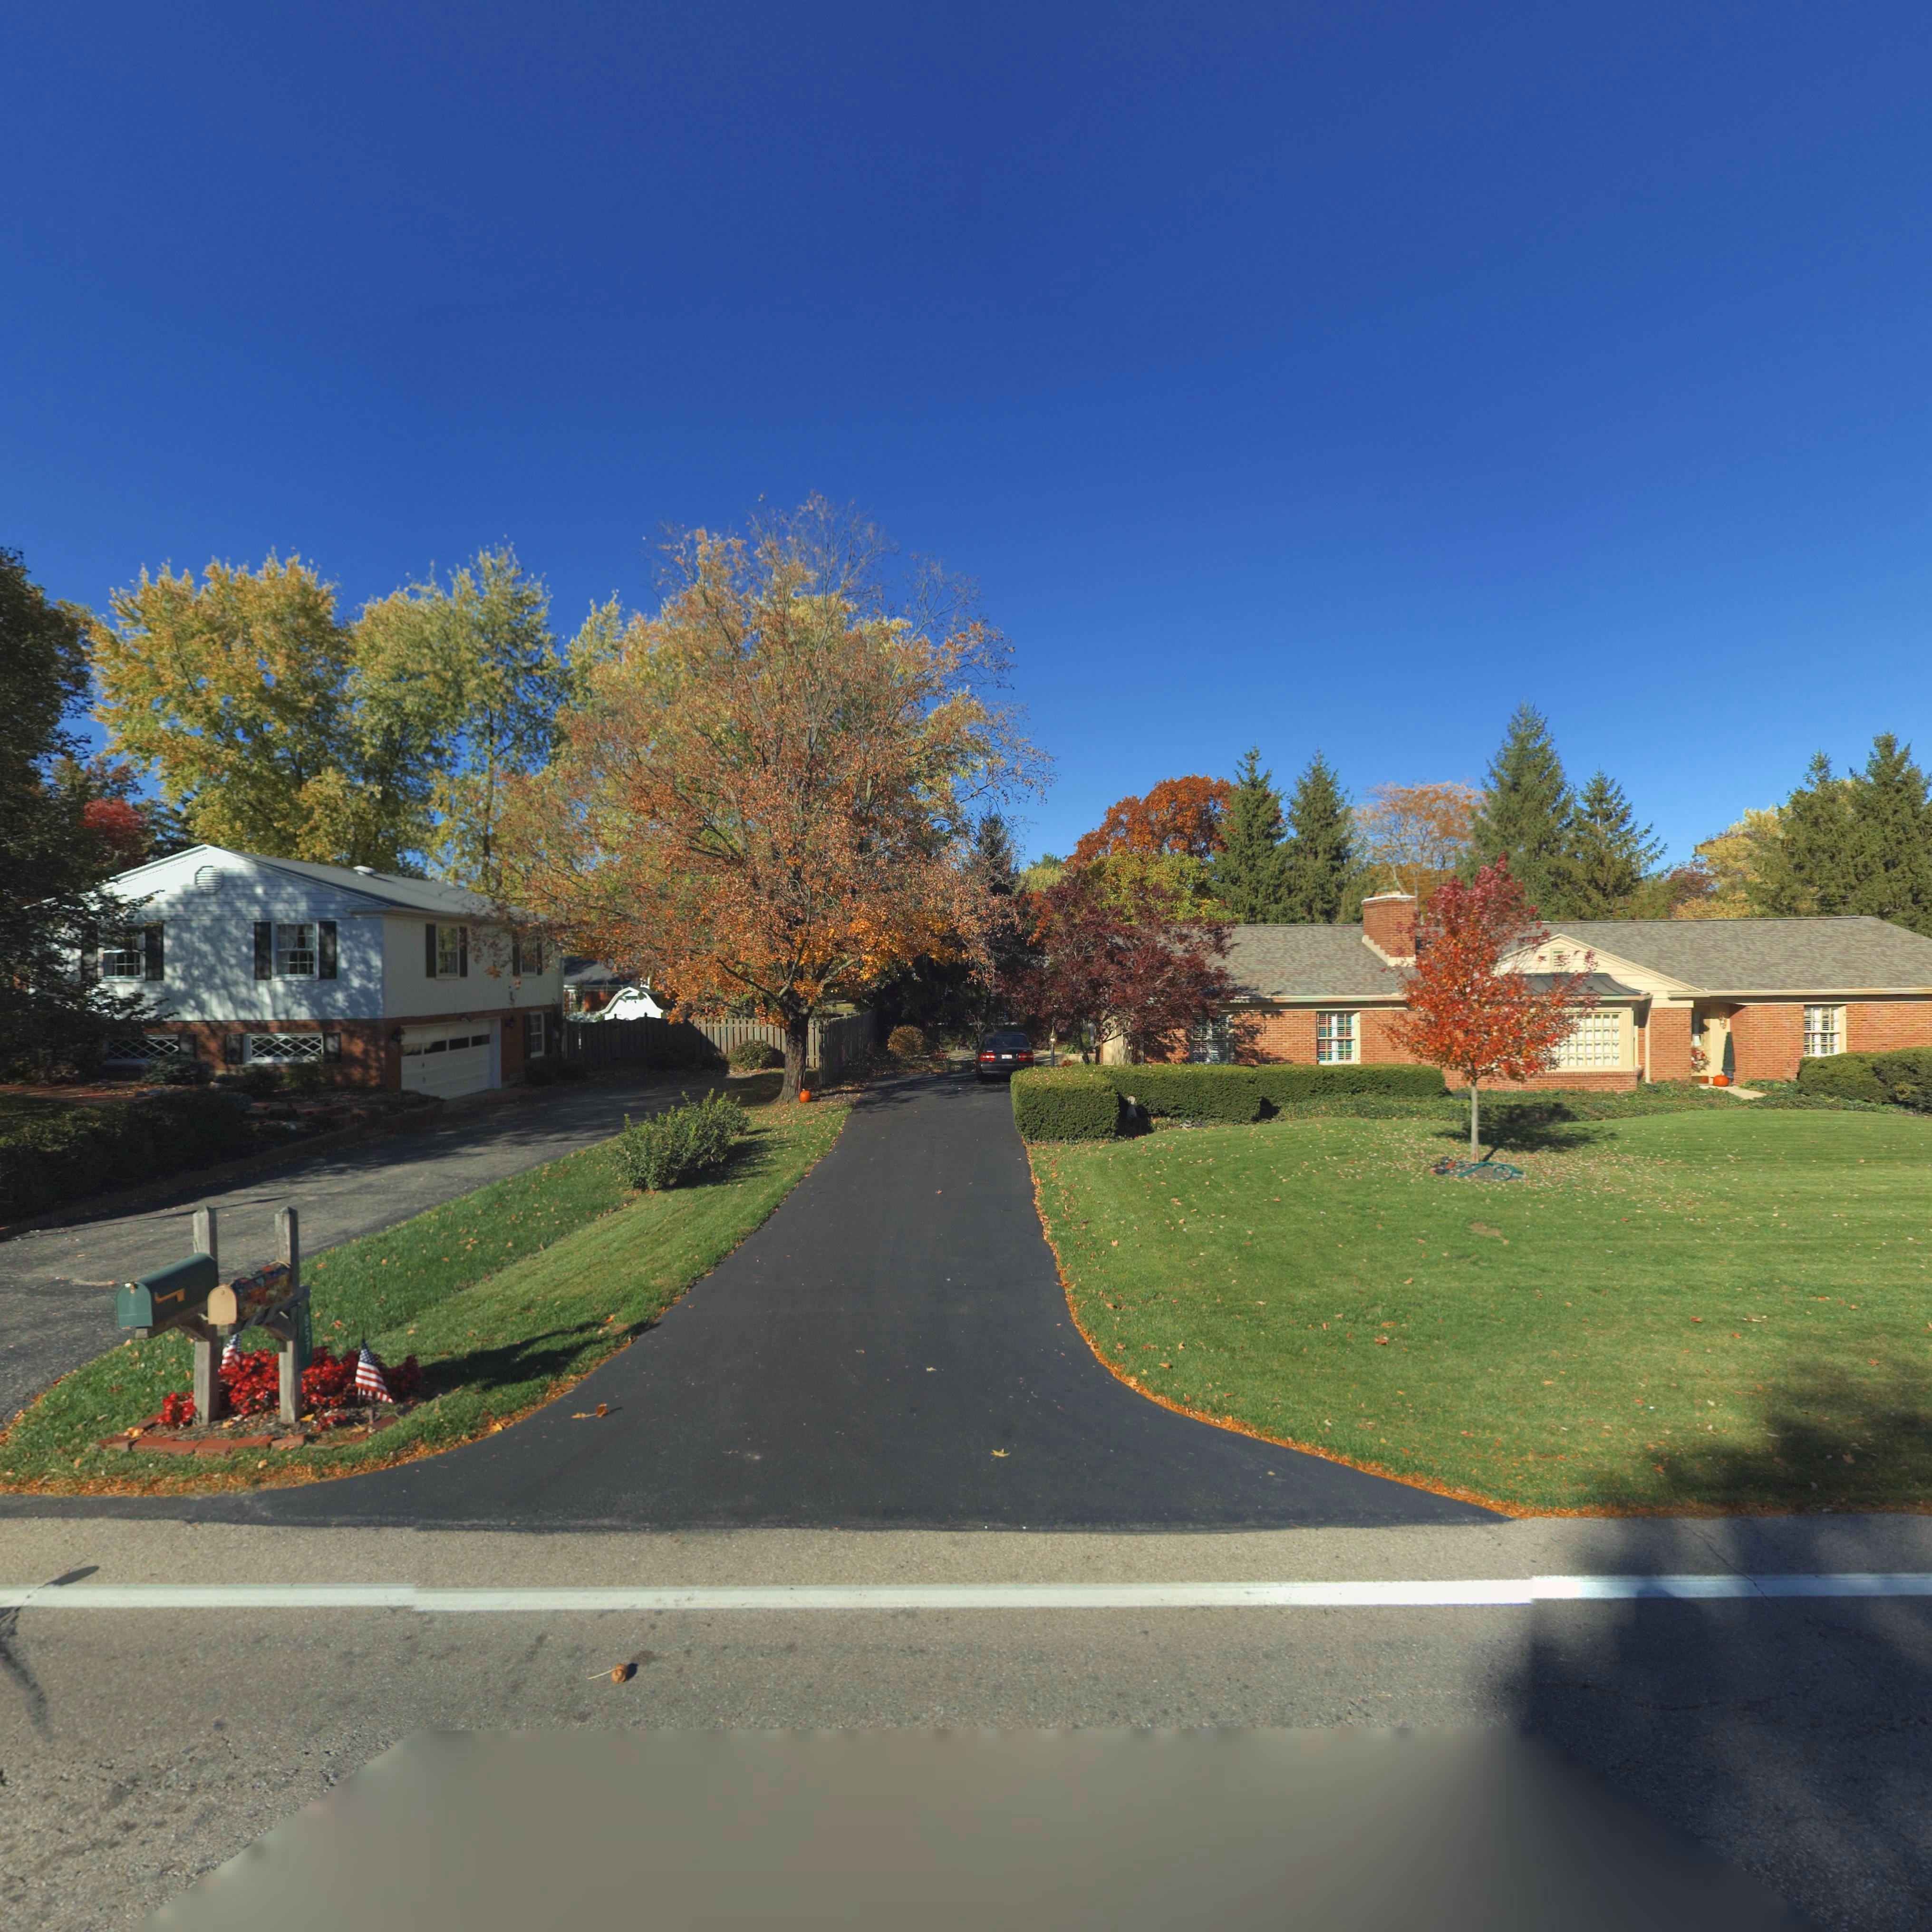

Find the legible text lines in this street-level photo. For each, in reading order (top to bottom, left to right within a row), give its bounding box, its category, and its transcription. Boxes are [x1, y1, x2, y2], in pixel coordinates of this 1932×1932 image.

[303, 1313, 312, 1355] StreetNumber: 857